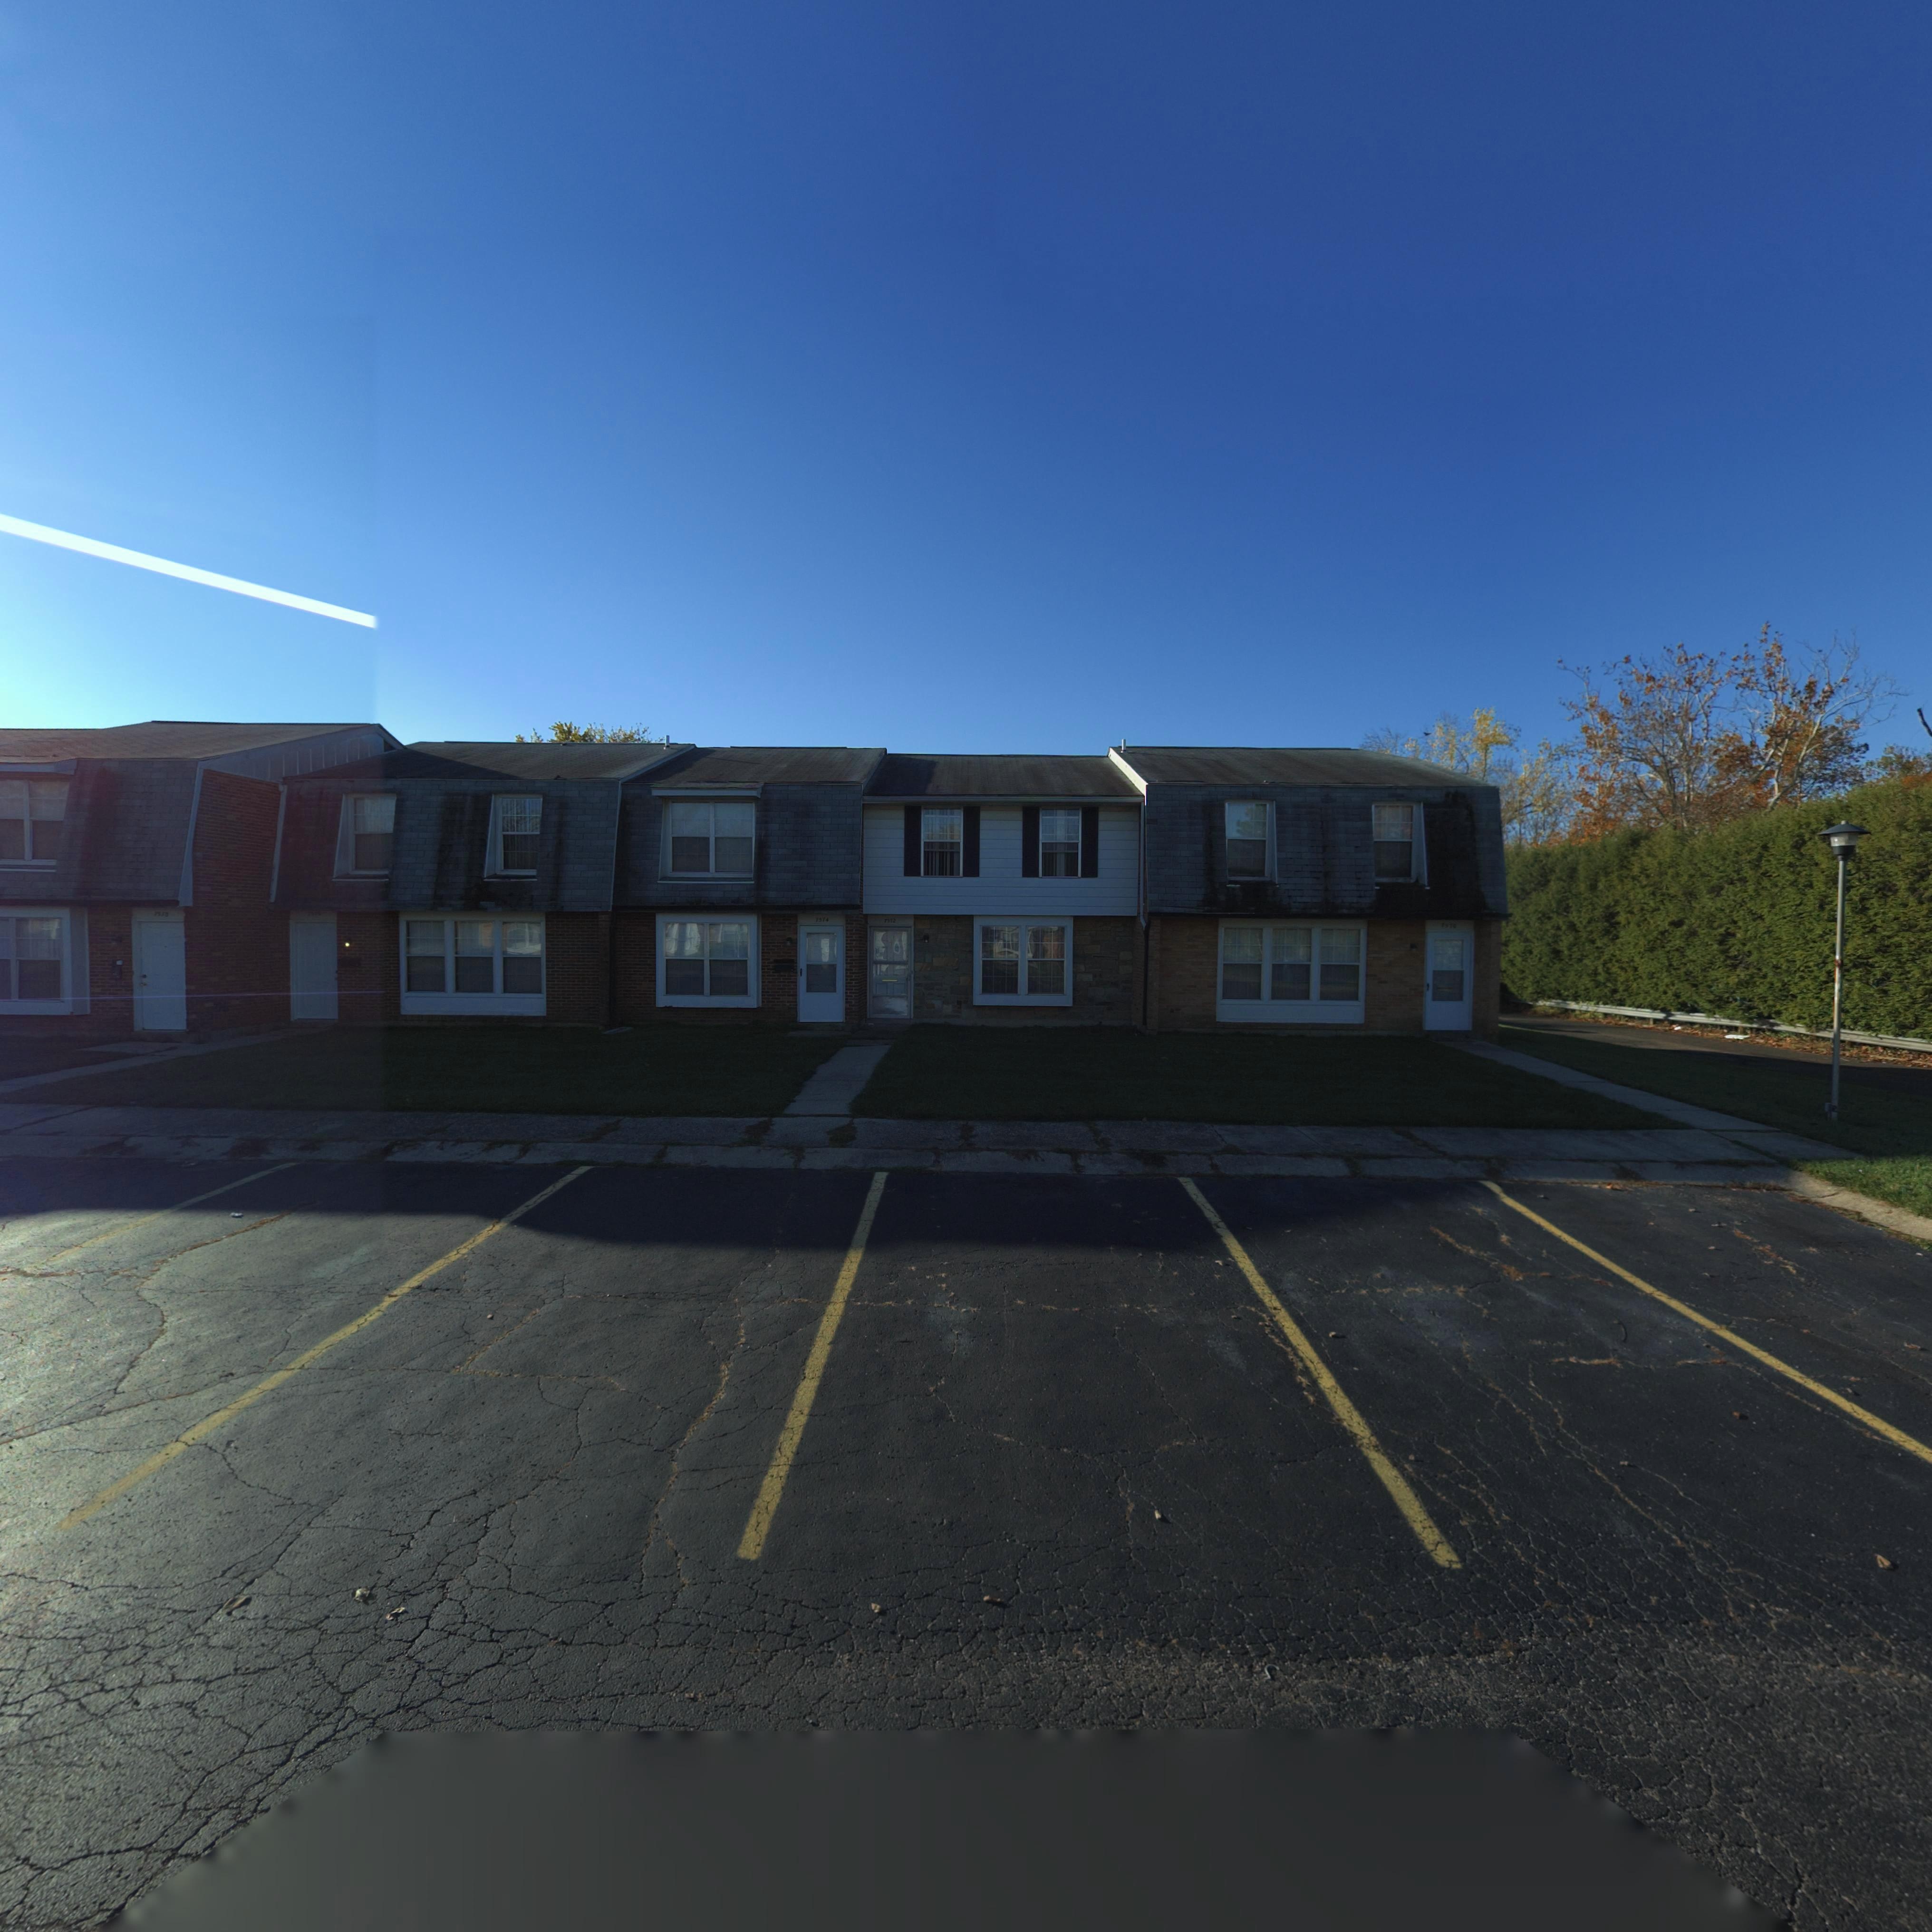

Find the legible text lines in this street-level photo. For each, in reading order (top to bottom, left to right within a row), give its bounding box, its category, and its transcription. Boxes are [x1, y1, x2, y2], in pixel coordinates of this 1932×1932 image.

[814, 916, 830, 924] StreetNumber: 7574
[883, 917, 897, 924] StreetNumber: 75*2
[1439, 922, 1459, 930] StreetNumber: **7*